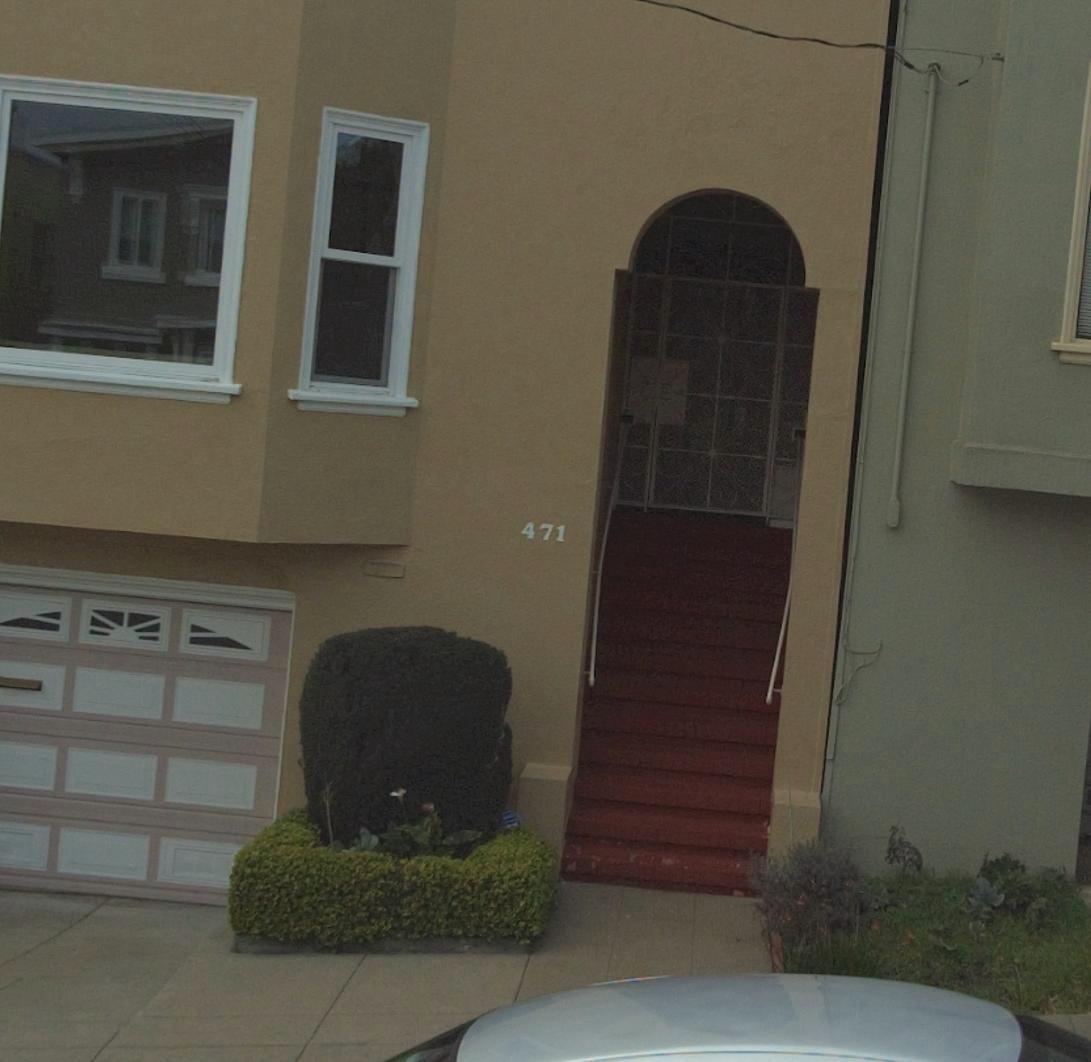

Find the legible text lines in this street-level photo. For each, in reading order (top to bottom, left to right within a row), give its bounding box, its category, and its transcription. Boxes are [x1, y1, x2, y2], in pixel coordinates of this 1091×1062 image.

[515, 520, 566, 544] StreetNumber: 471